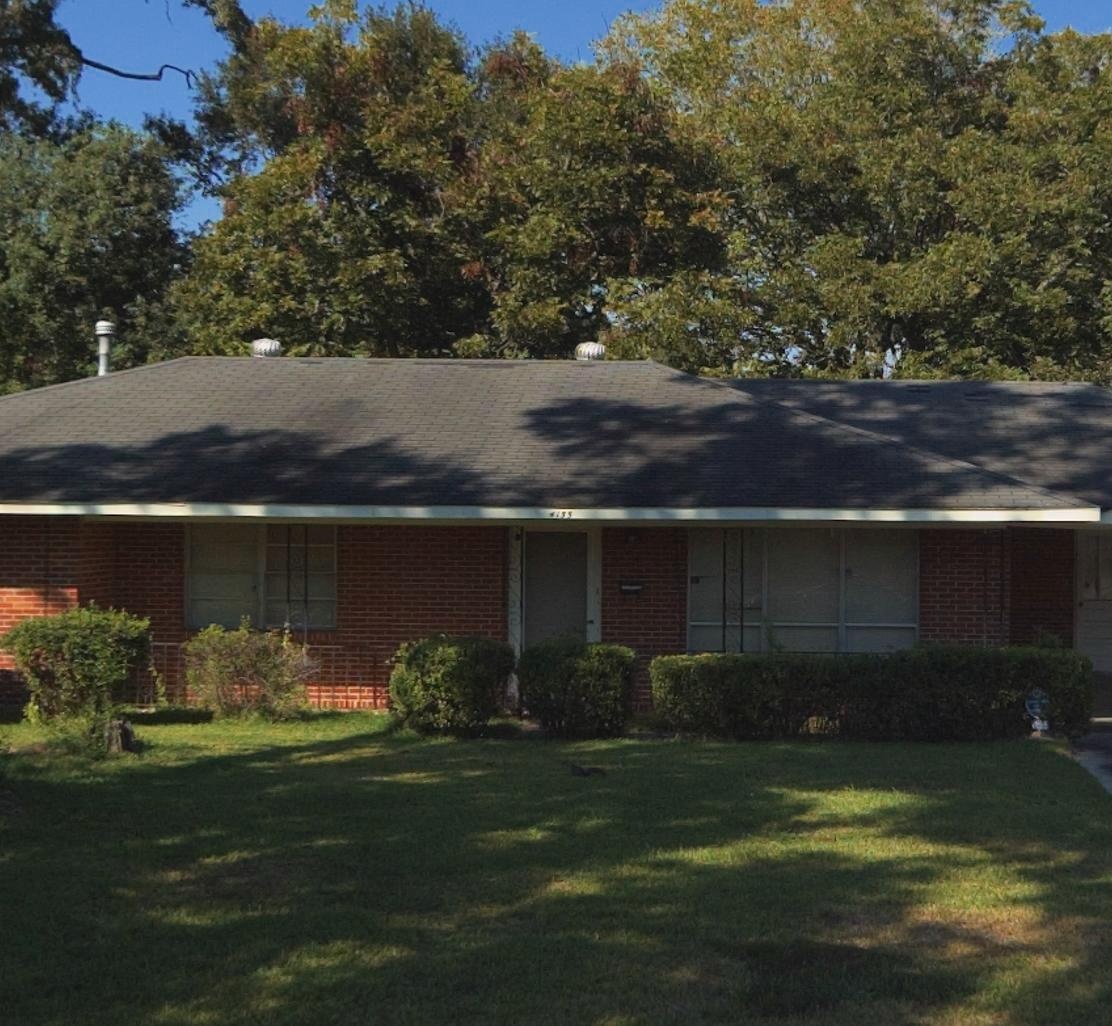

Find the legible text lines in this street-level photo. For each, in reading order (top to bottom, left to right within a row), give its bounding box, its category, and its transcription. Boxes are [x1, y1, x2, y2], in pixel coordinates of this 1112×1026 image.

[548, 511, 573, 519] StreetNumber: *135